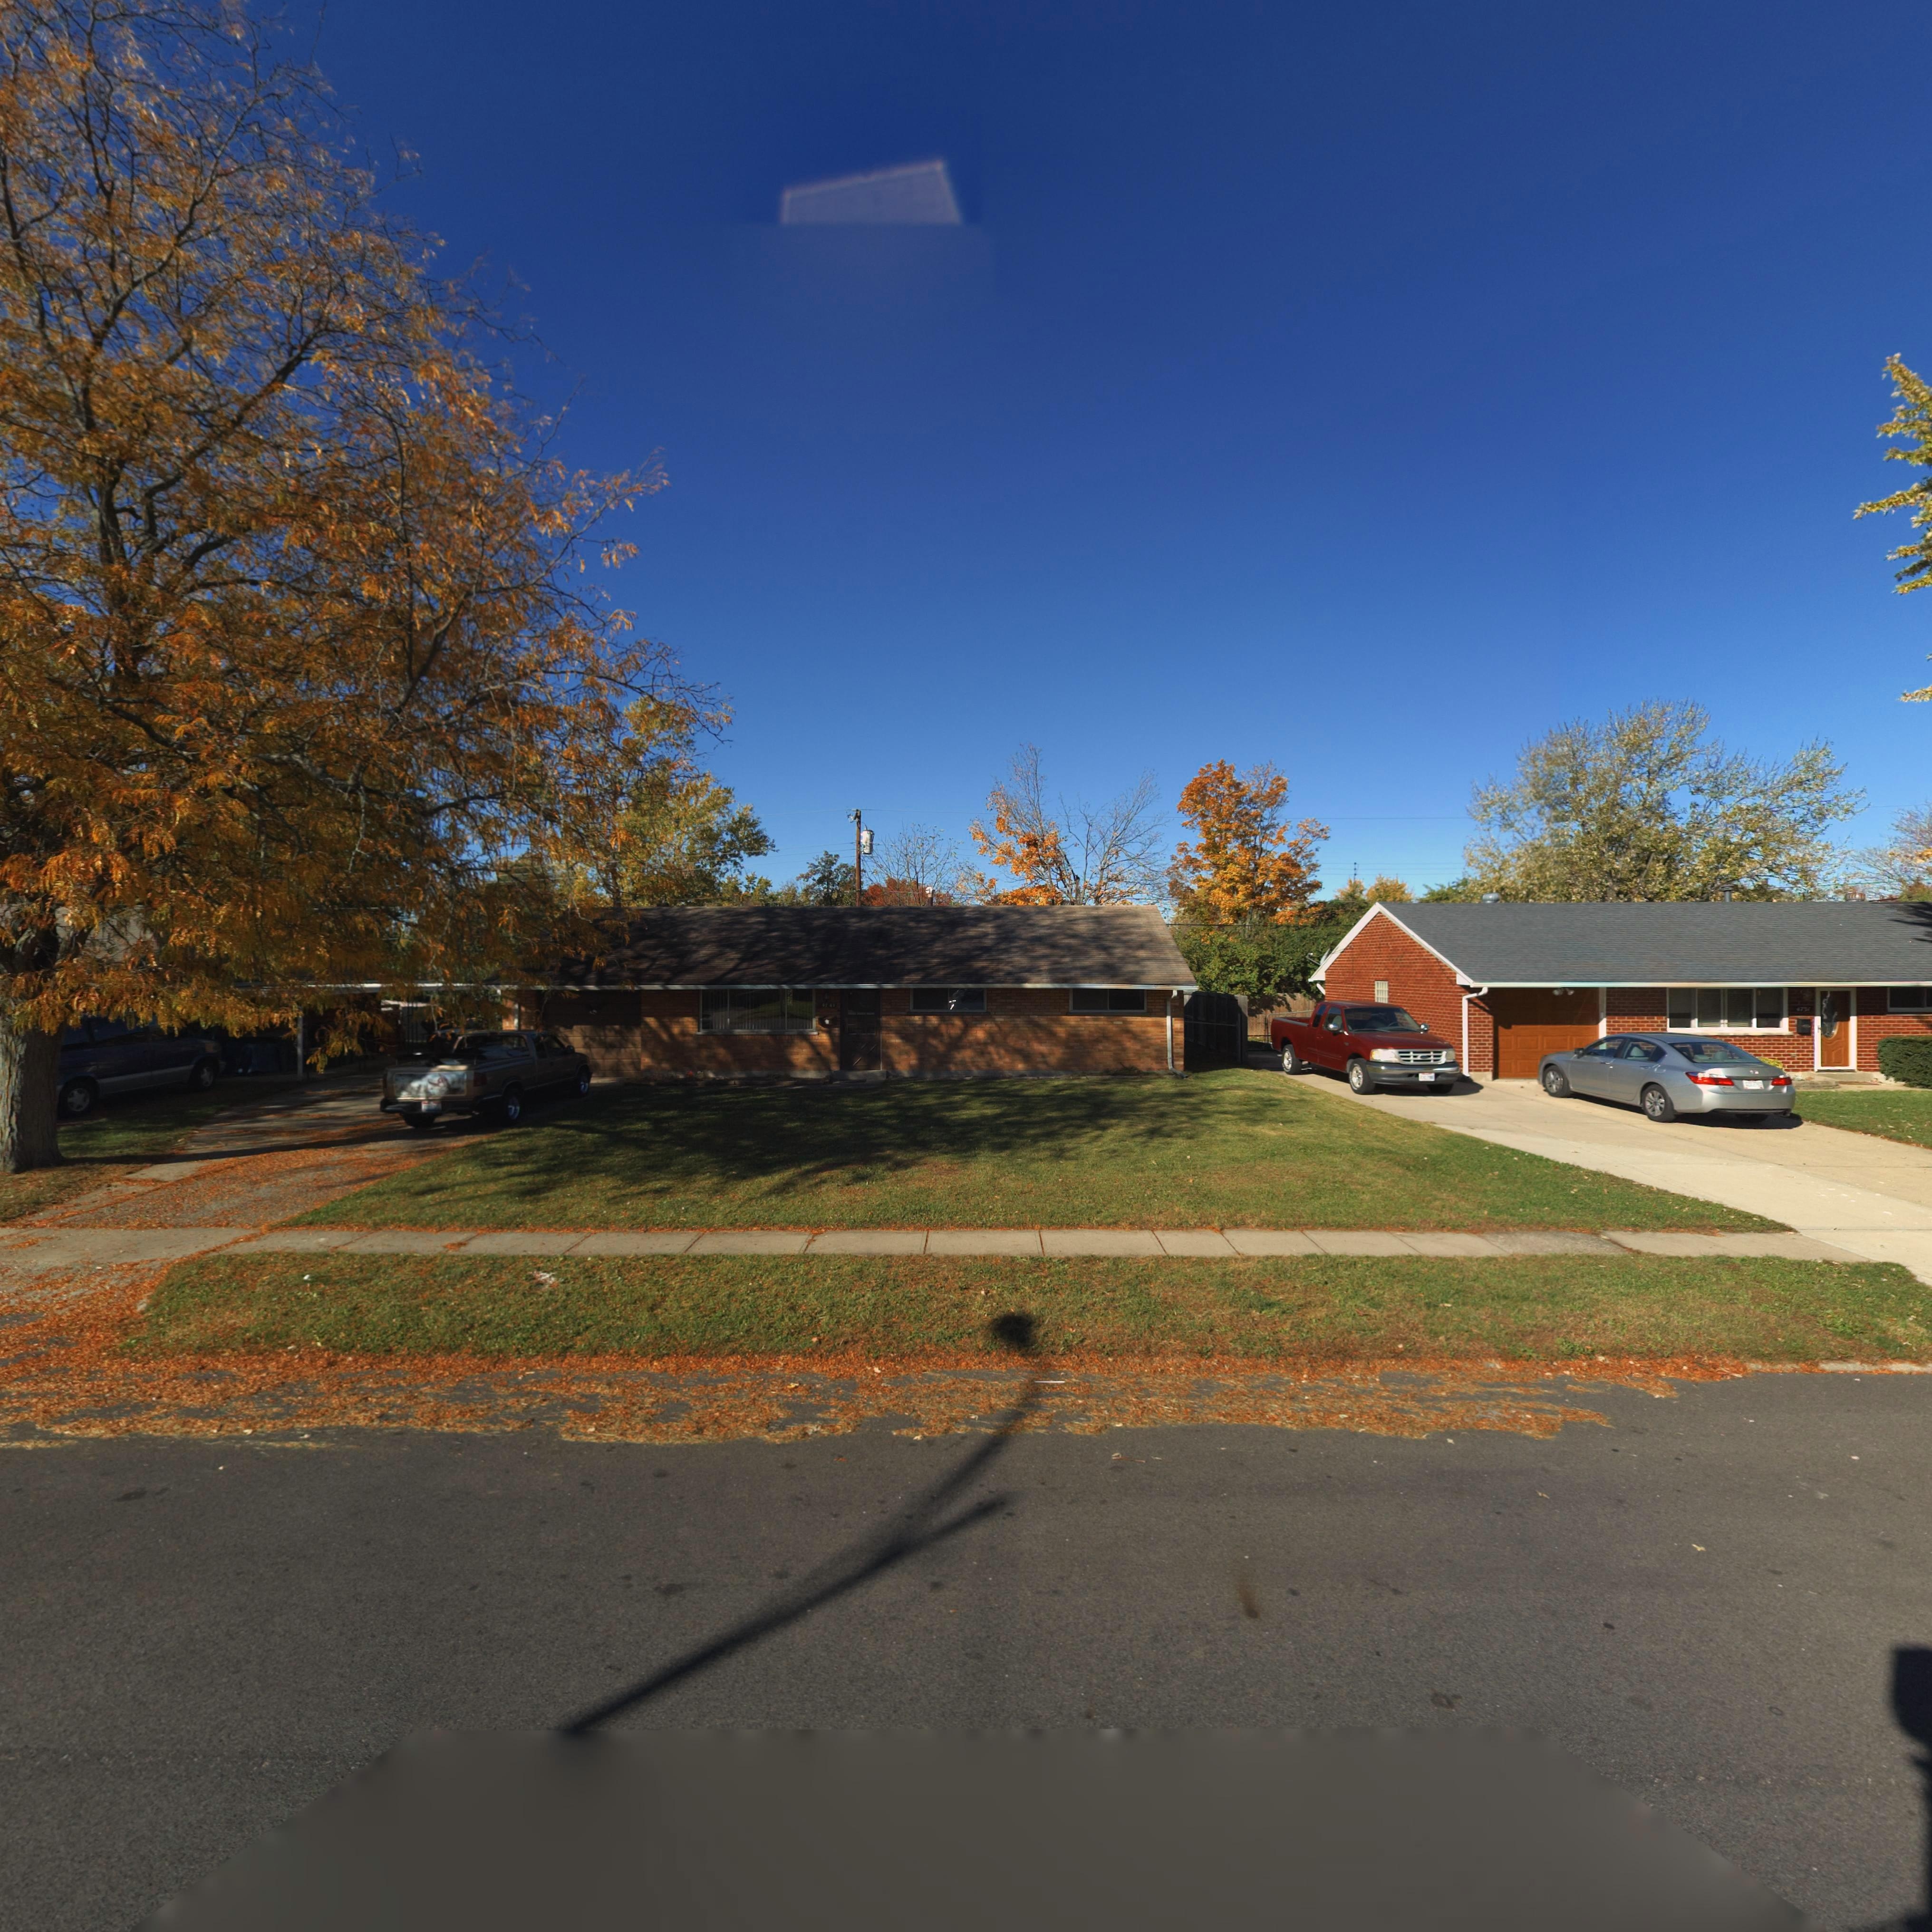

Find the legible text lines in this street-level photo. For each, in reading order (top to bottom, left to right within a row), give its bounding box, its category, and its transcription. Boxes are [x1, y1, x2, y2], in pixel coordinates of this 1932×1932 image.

[821, 1002, 836, 1008] StreetNumber: 4741